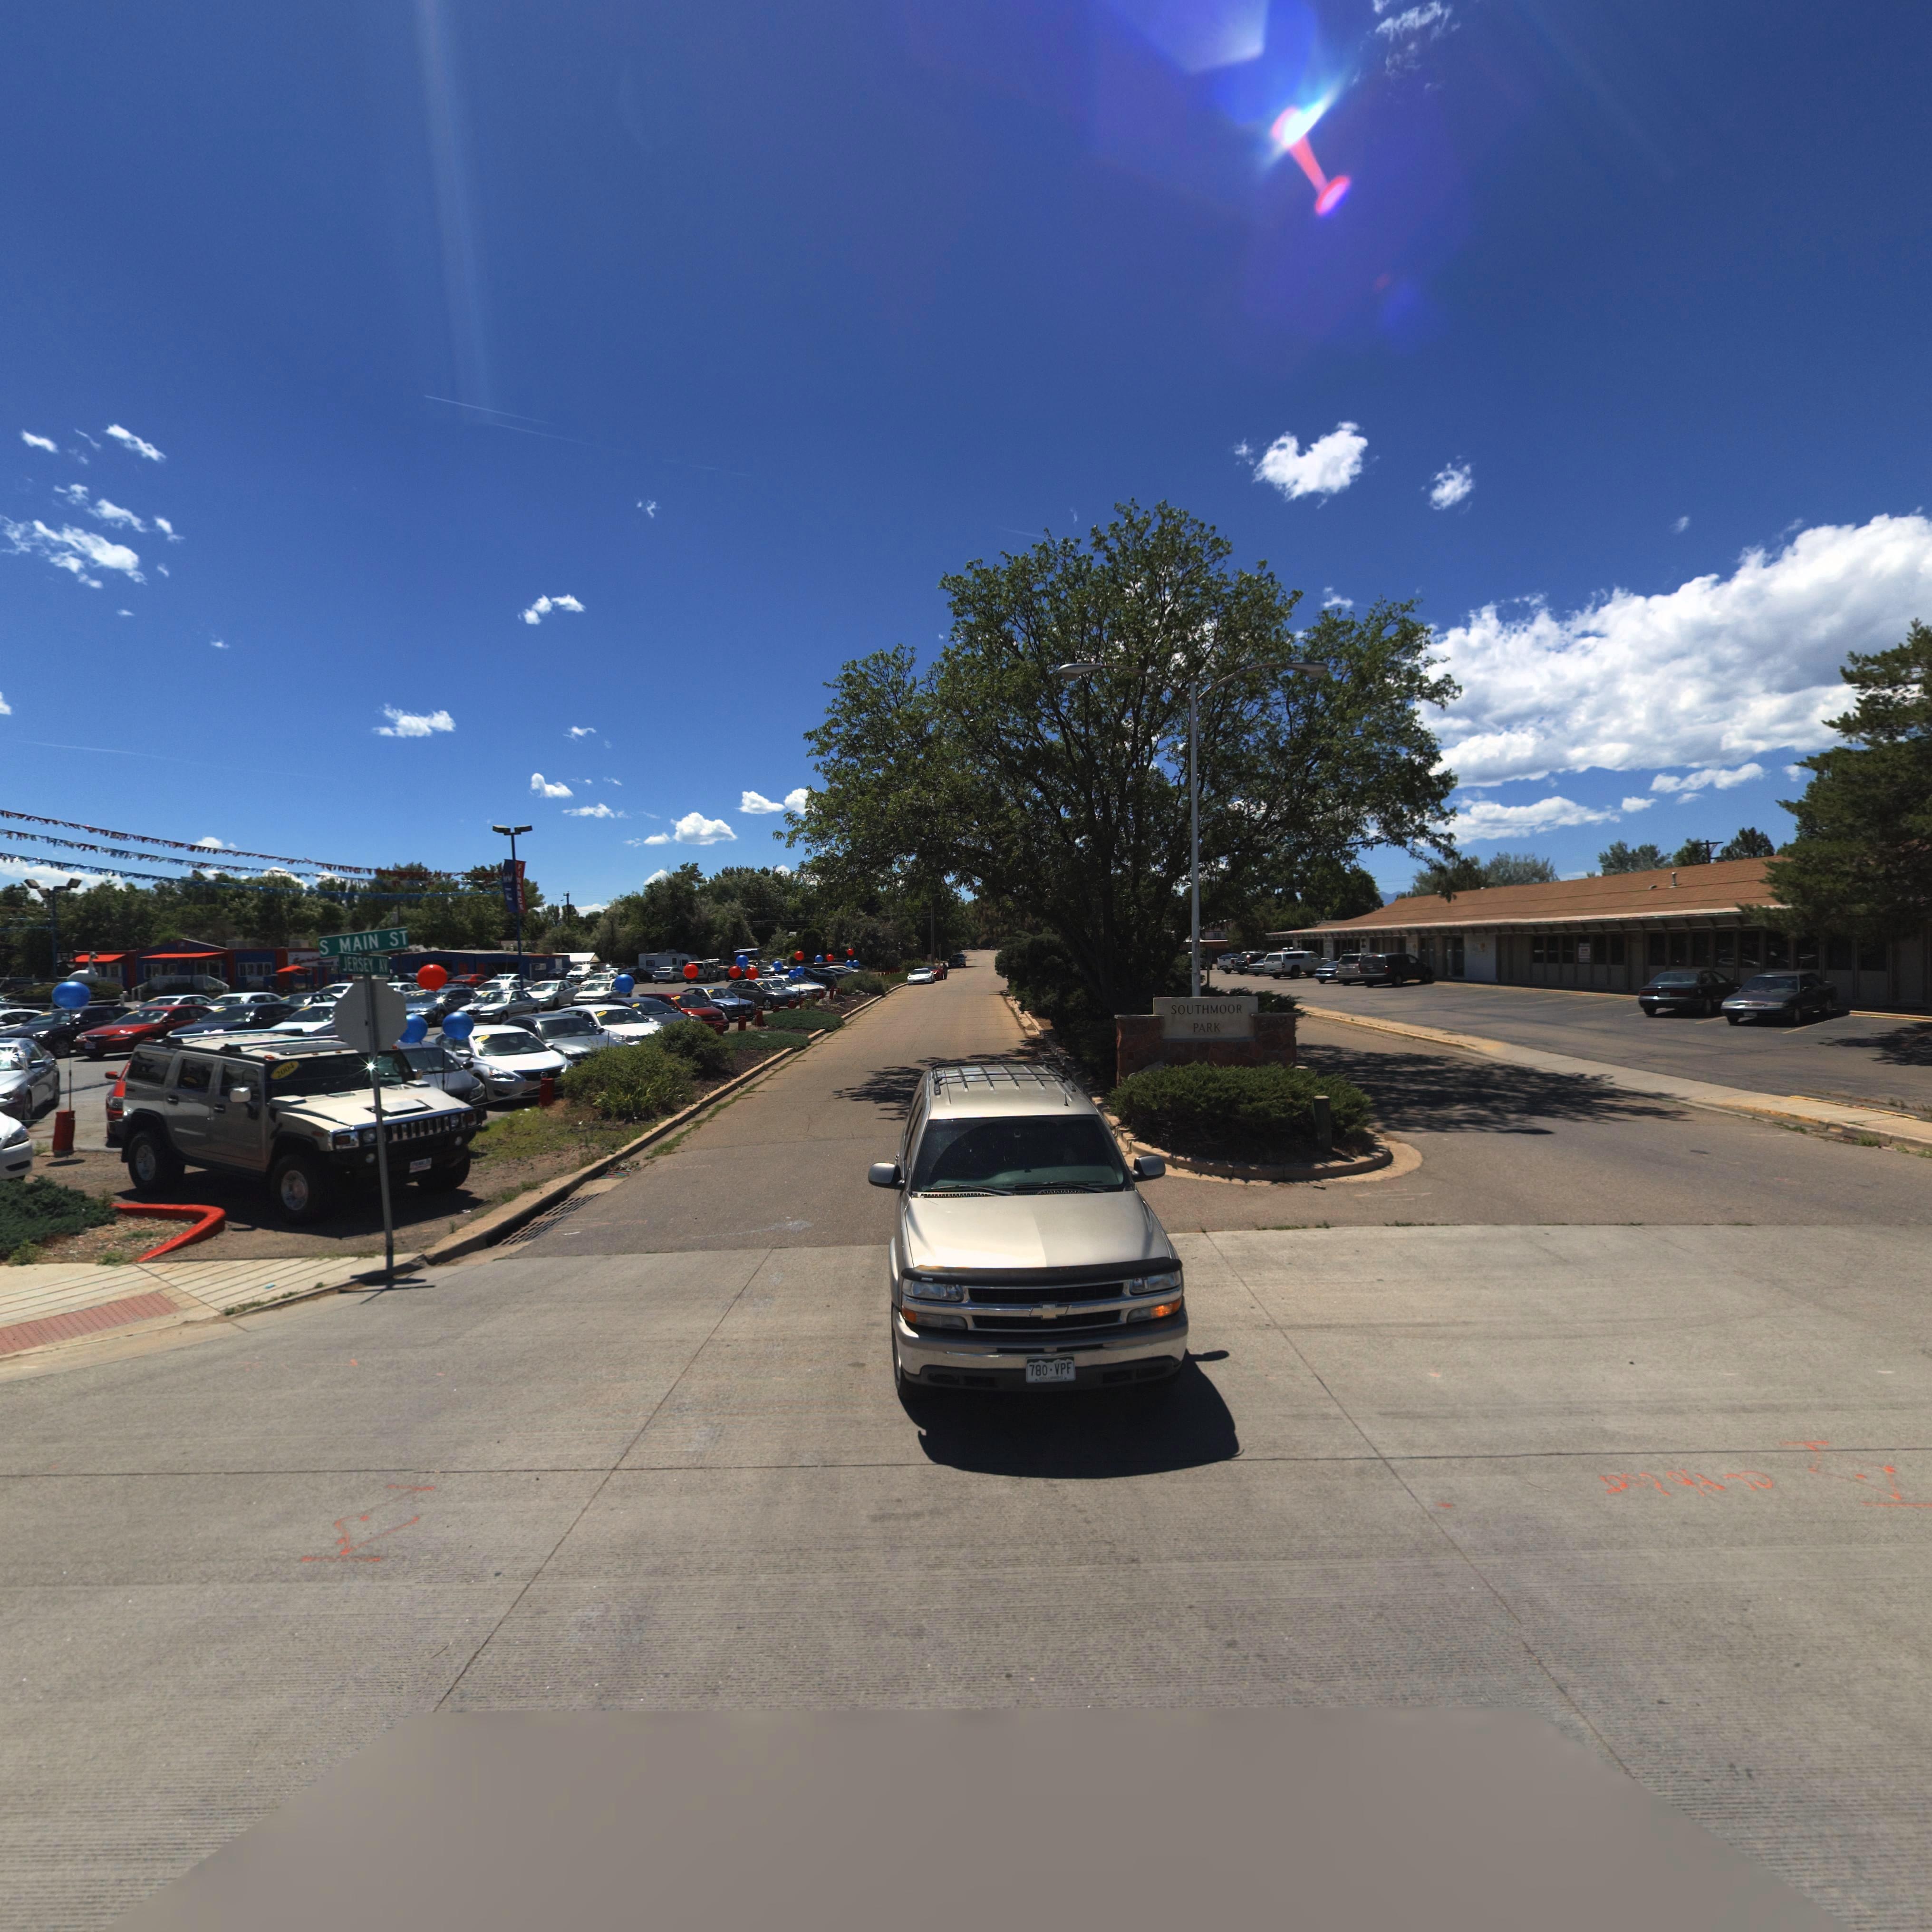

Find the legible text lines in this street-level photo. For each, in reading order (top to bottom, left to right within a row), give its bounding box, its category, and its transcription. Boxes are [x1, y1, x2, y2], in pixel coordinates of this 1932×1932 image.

[318, 929, 408, 955] StreetName: S MAIN ST
[291, 955, 331, 966] BusinessName: Sp***k***
[342, 956, 388, 973] StreetName: JERSEY AV